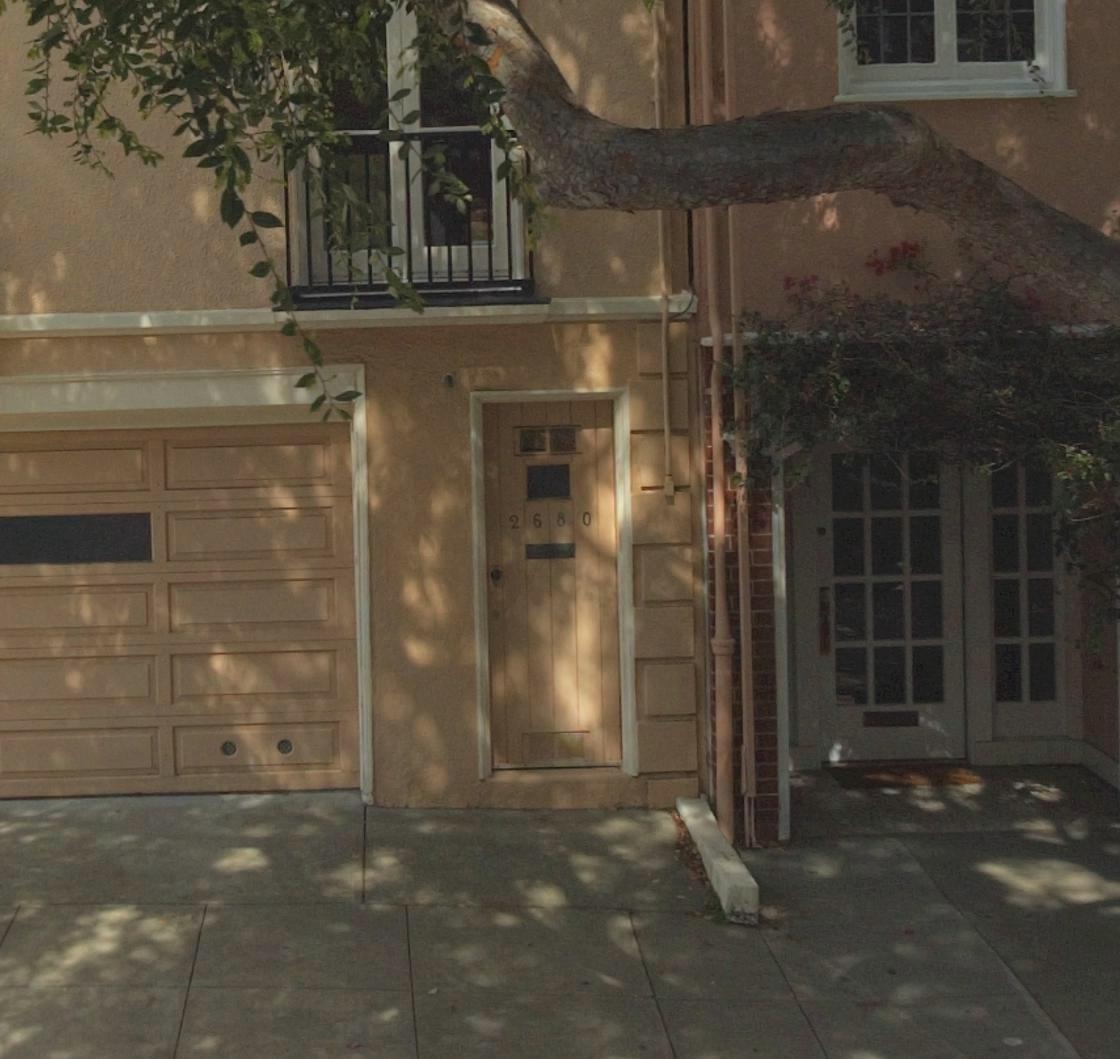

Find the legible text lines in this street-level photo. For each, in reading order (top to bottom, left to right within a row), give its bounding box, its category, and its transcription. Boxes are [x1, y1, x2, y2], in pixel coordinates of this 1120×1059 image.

[505, 509, 593, 532] StreetNumber: 2680